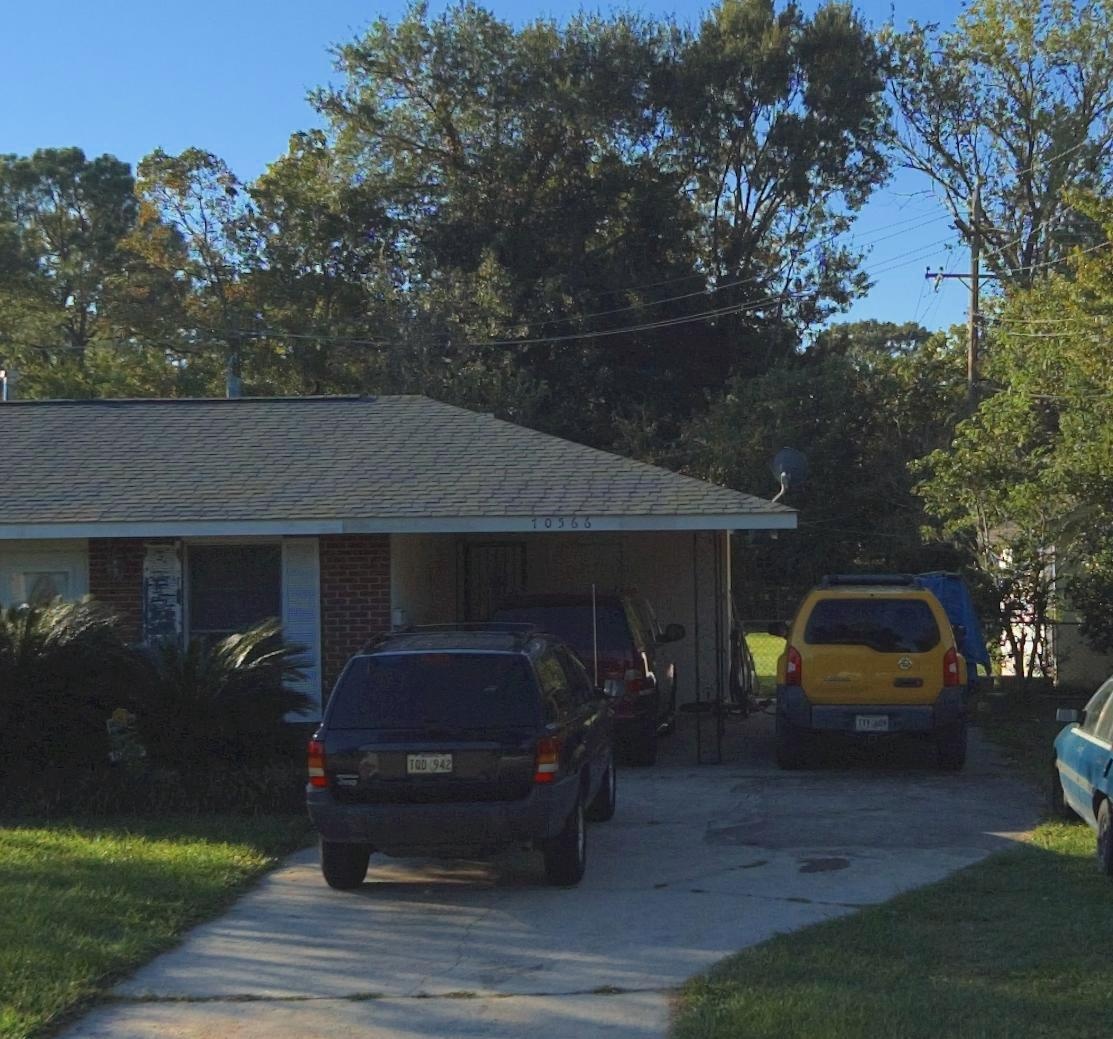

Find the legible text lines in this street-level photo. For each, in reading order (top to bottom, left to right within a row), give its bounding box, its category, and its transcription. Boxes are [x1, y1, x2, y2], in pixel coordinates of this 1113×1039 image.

[530, 515, 593, 530] StreetNumber: 10566
[407, 757, 454, 772] None: TQD 942